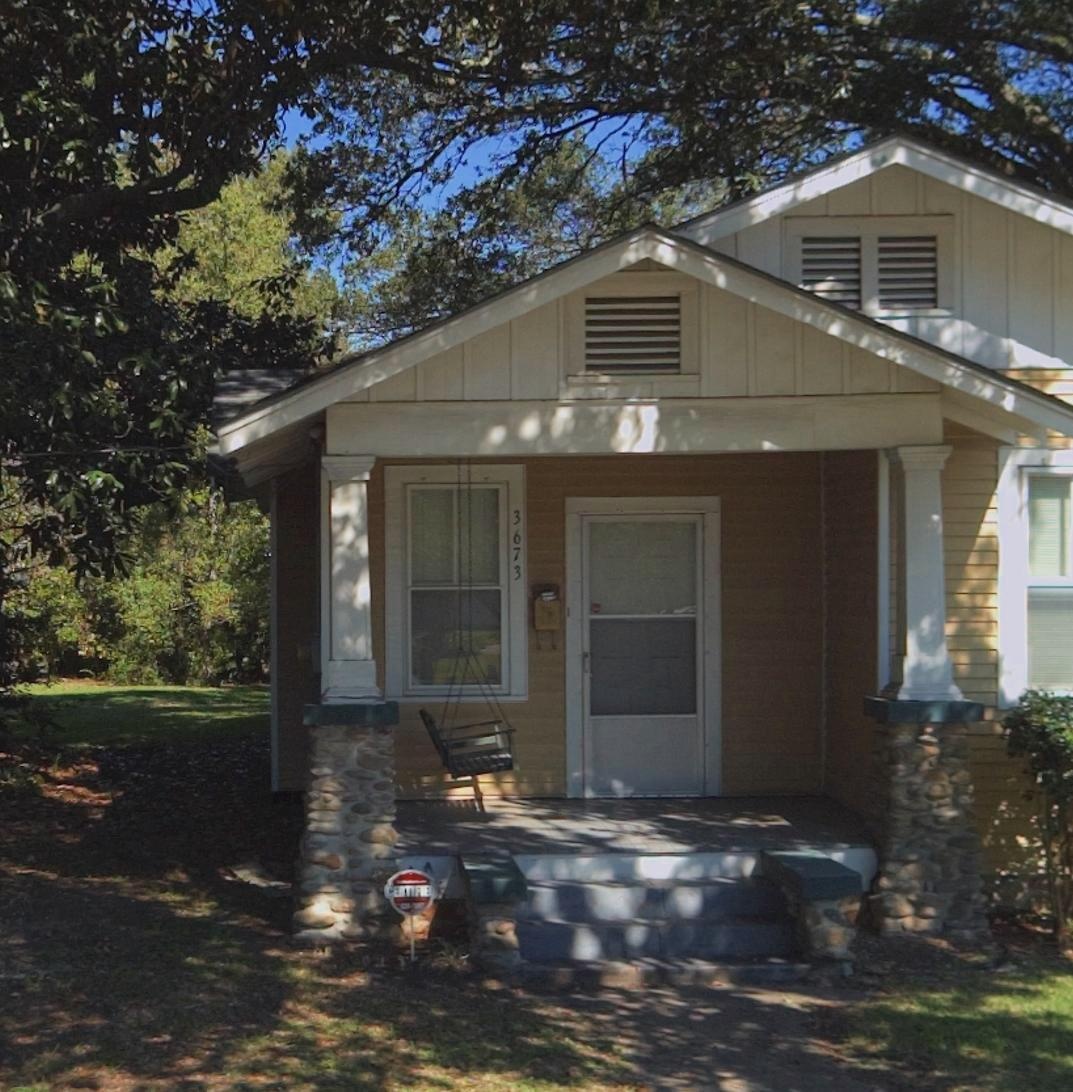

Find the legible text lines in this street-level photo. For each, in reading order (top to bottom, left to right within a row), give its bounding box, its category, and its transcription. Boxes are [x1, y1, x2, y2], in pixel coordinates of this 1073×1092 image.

[512, 509, 522, 581] StreetNumber: 3673
[384, 885, 436, 898] None: CERTIFIED